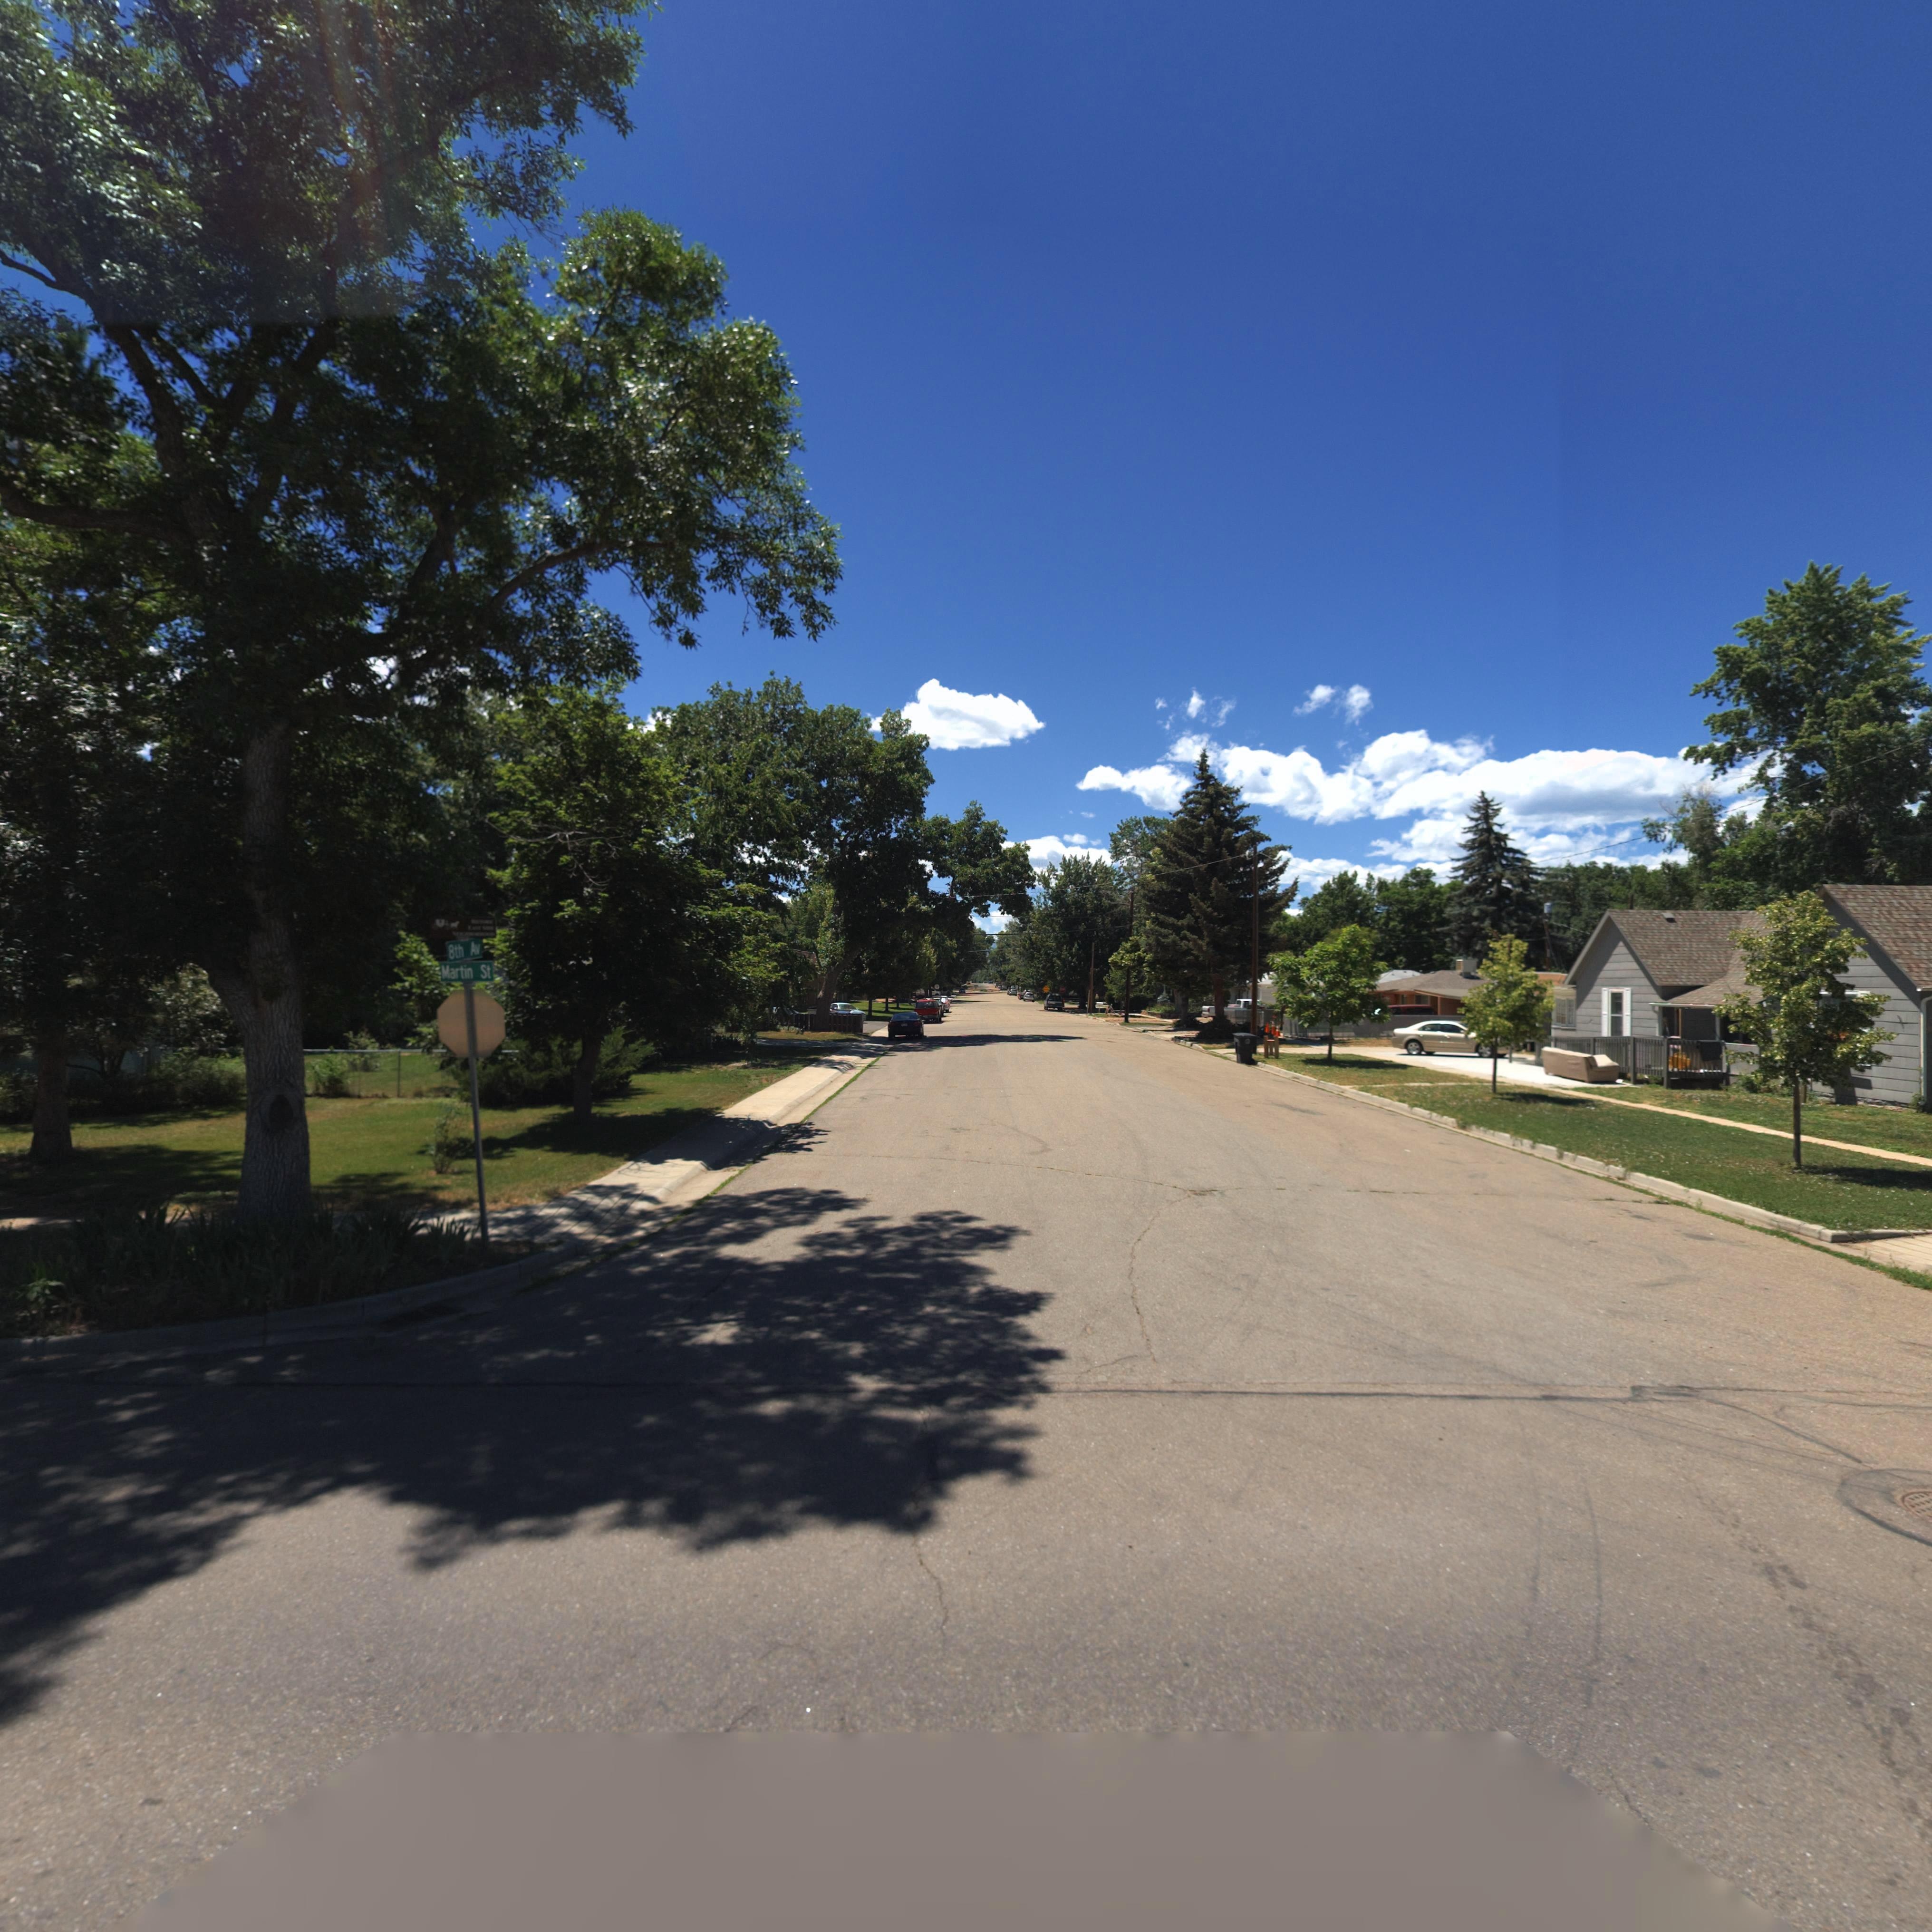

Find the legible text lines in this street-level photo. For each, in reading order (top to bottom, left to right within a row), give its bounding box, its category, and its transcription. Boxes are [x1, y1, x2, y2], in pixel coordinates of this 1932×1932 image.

[448, 941, 481, 959] StreetName: 8th Av 
[441, 964, 492, 980] StreetName: Martin St